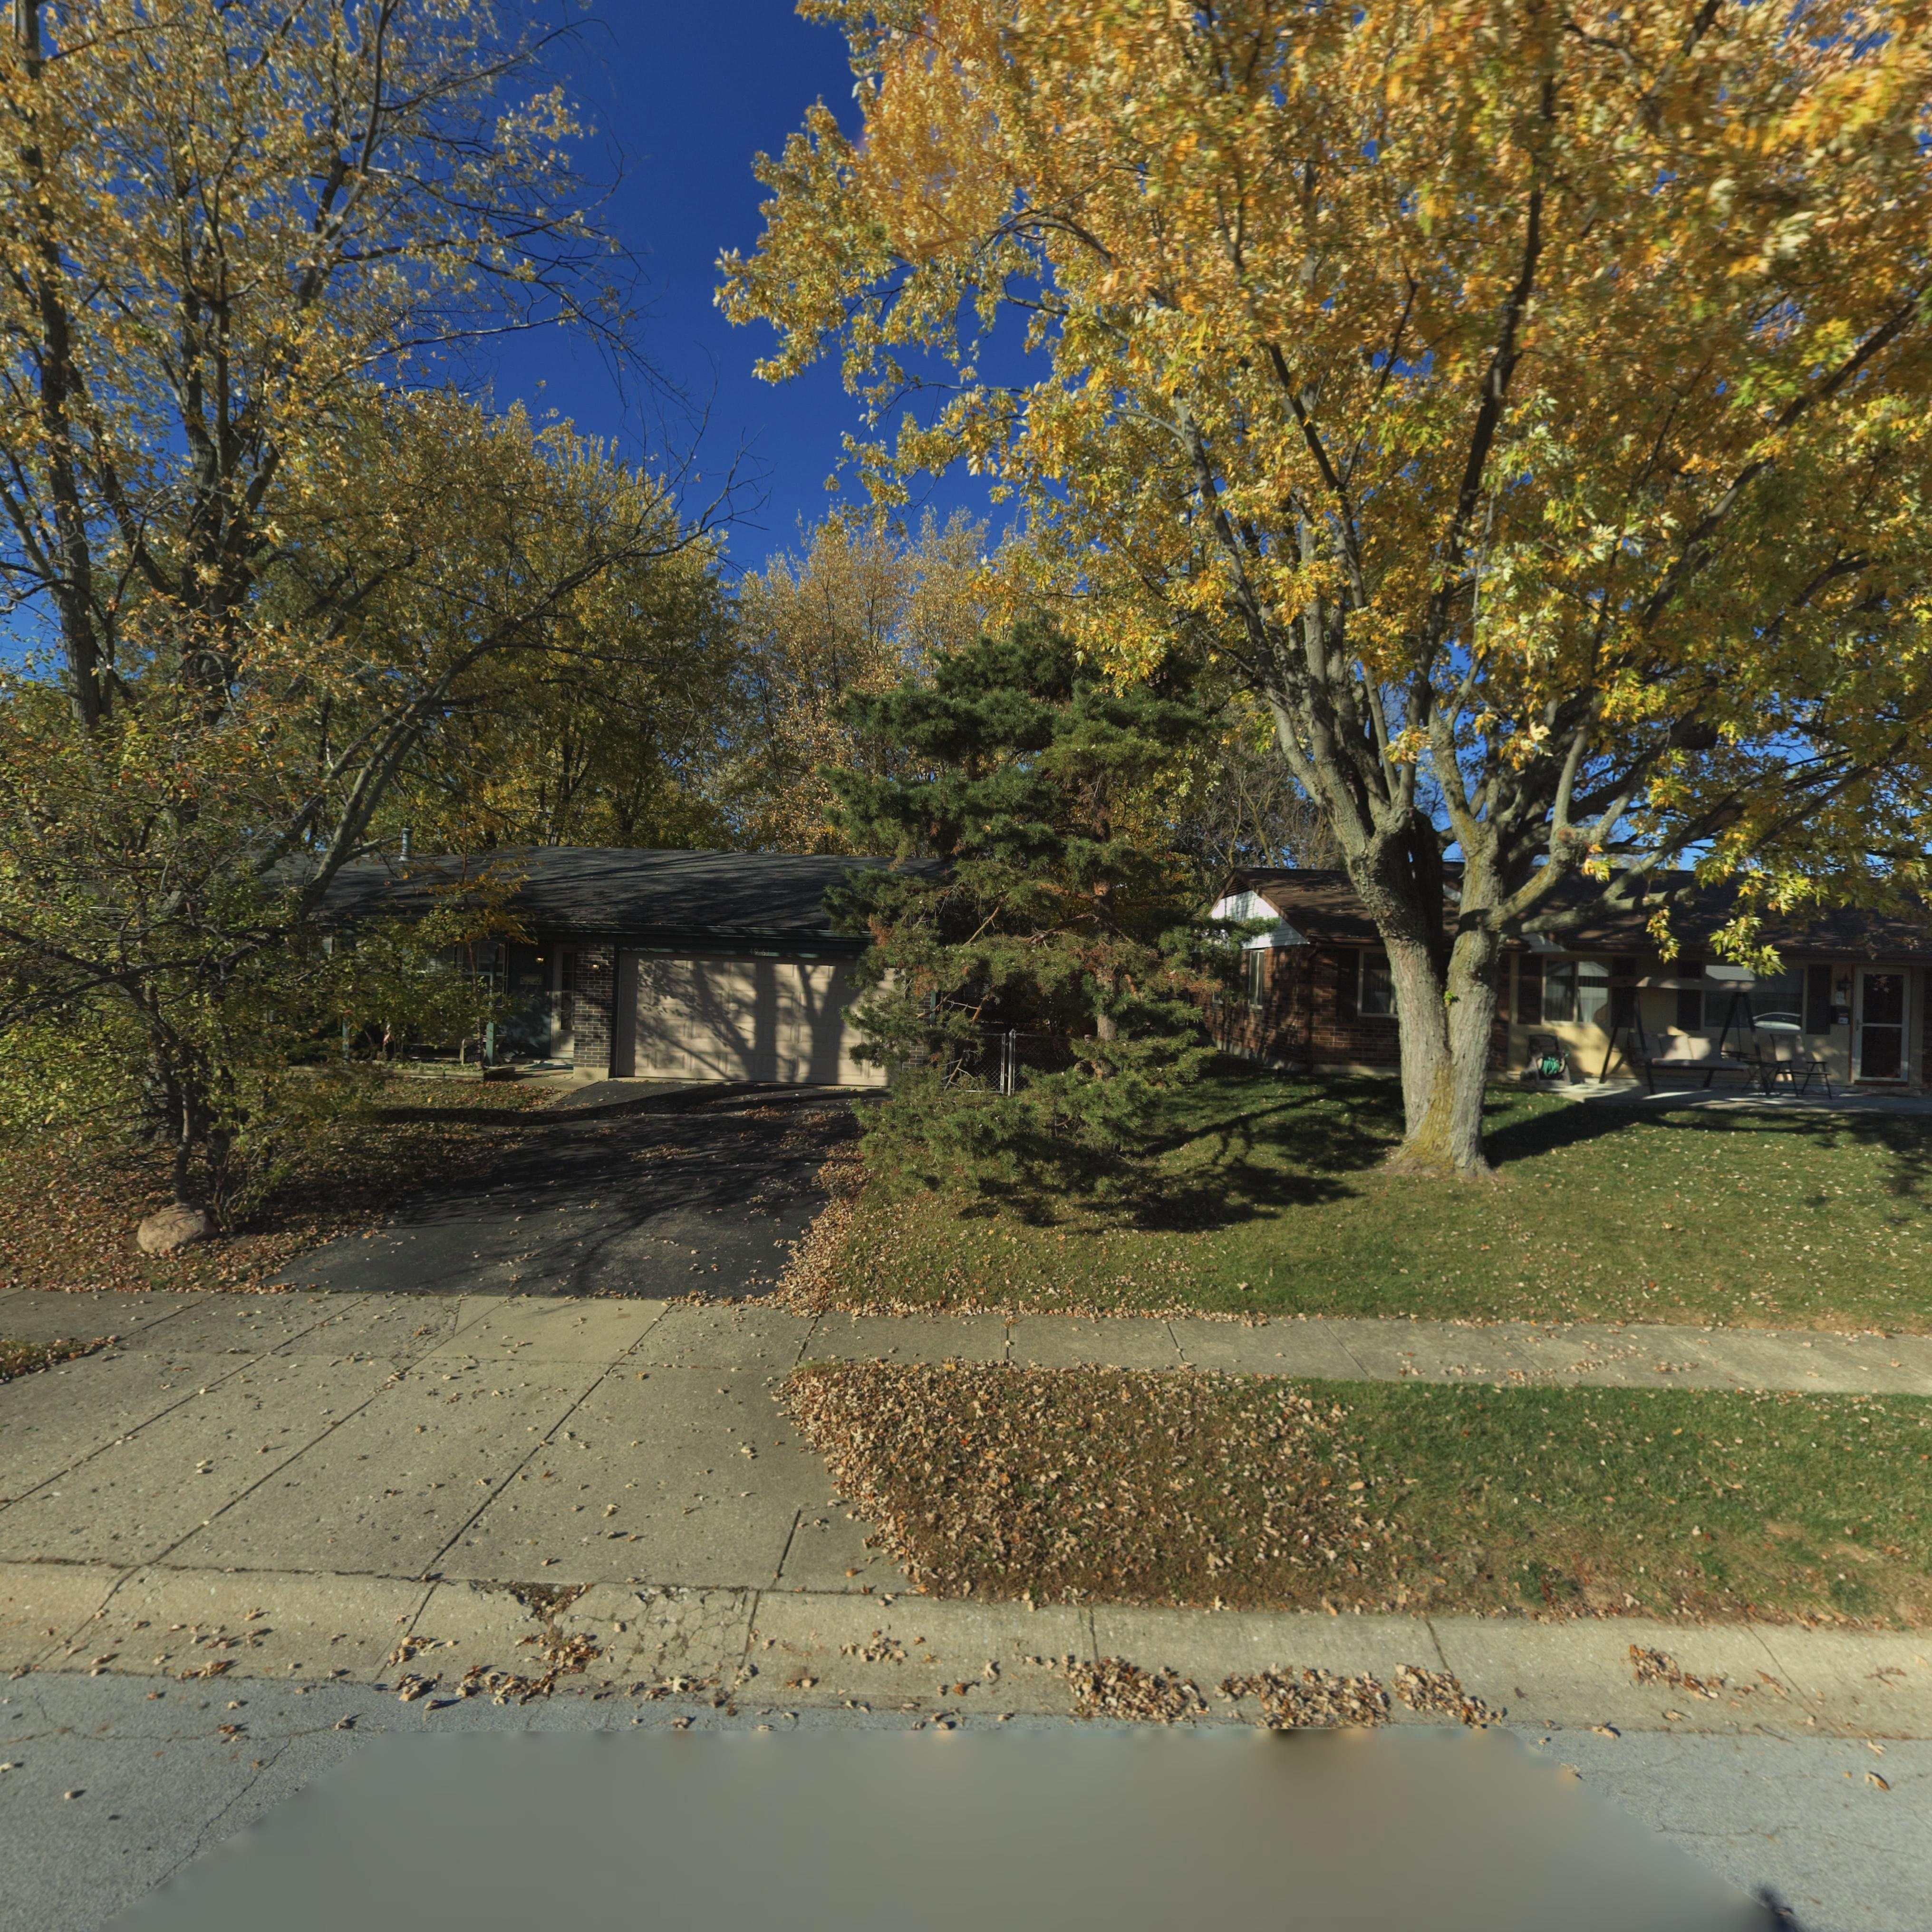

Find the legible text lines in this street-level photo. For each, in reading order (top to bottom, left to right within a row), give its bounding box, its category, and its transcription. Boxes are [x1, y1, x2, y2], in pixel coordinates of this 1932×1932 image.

[748, 947, 770, 957] StreetNumber: 49 61